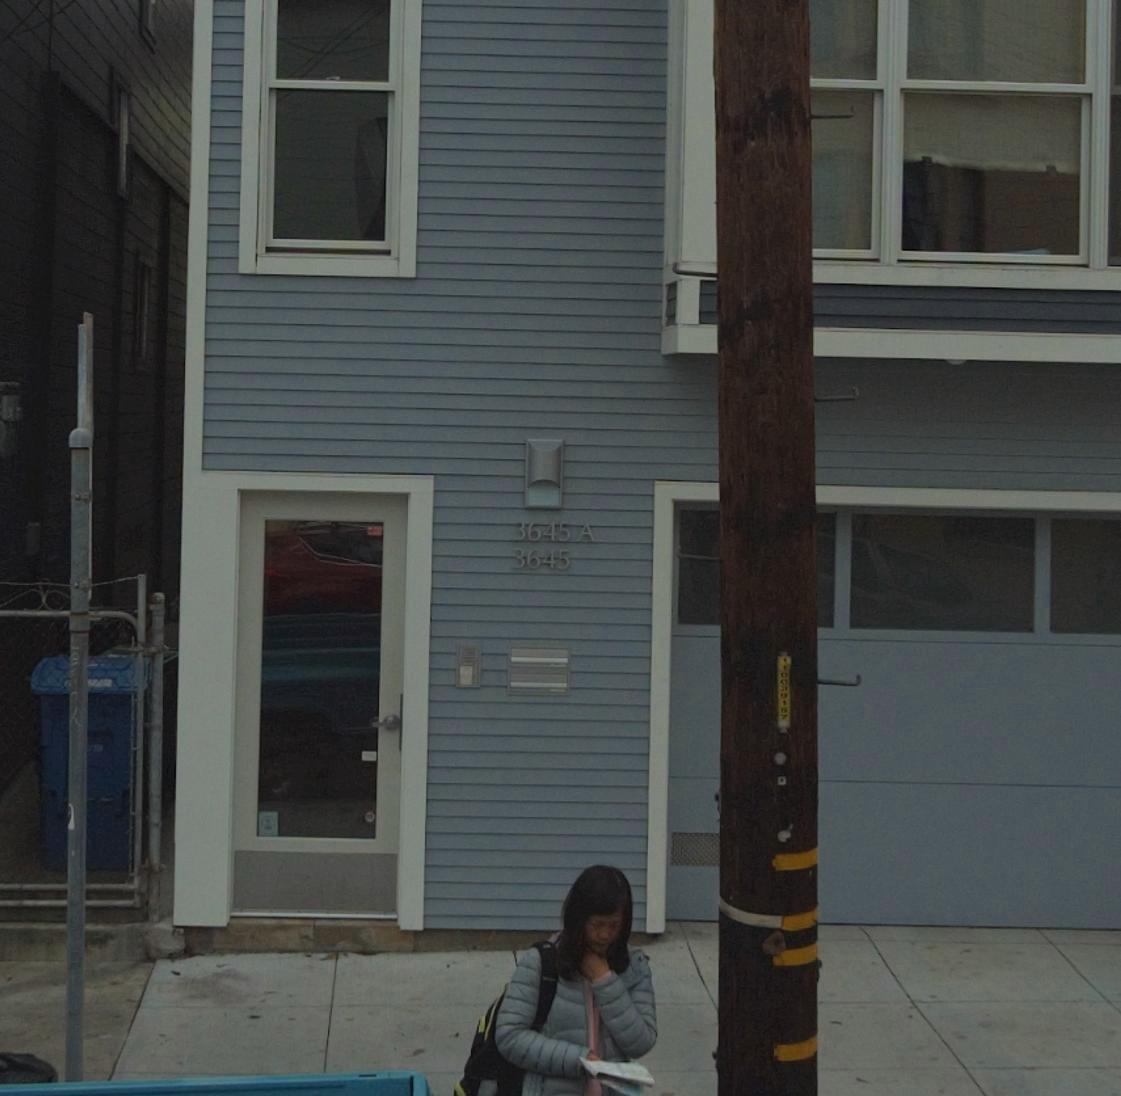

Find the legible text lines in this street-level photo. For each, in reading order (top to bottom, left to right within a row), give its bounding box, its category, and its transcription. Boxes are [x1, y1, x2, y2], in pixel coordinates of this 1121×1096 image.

[510, 518, 599, 544] StreetNumber: 3645A
[509, 545, 572, 571] StreetNumber: 3645
[780, 657, 789, 721] None: 1100**1*7